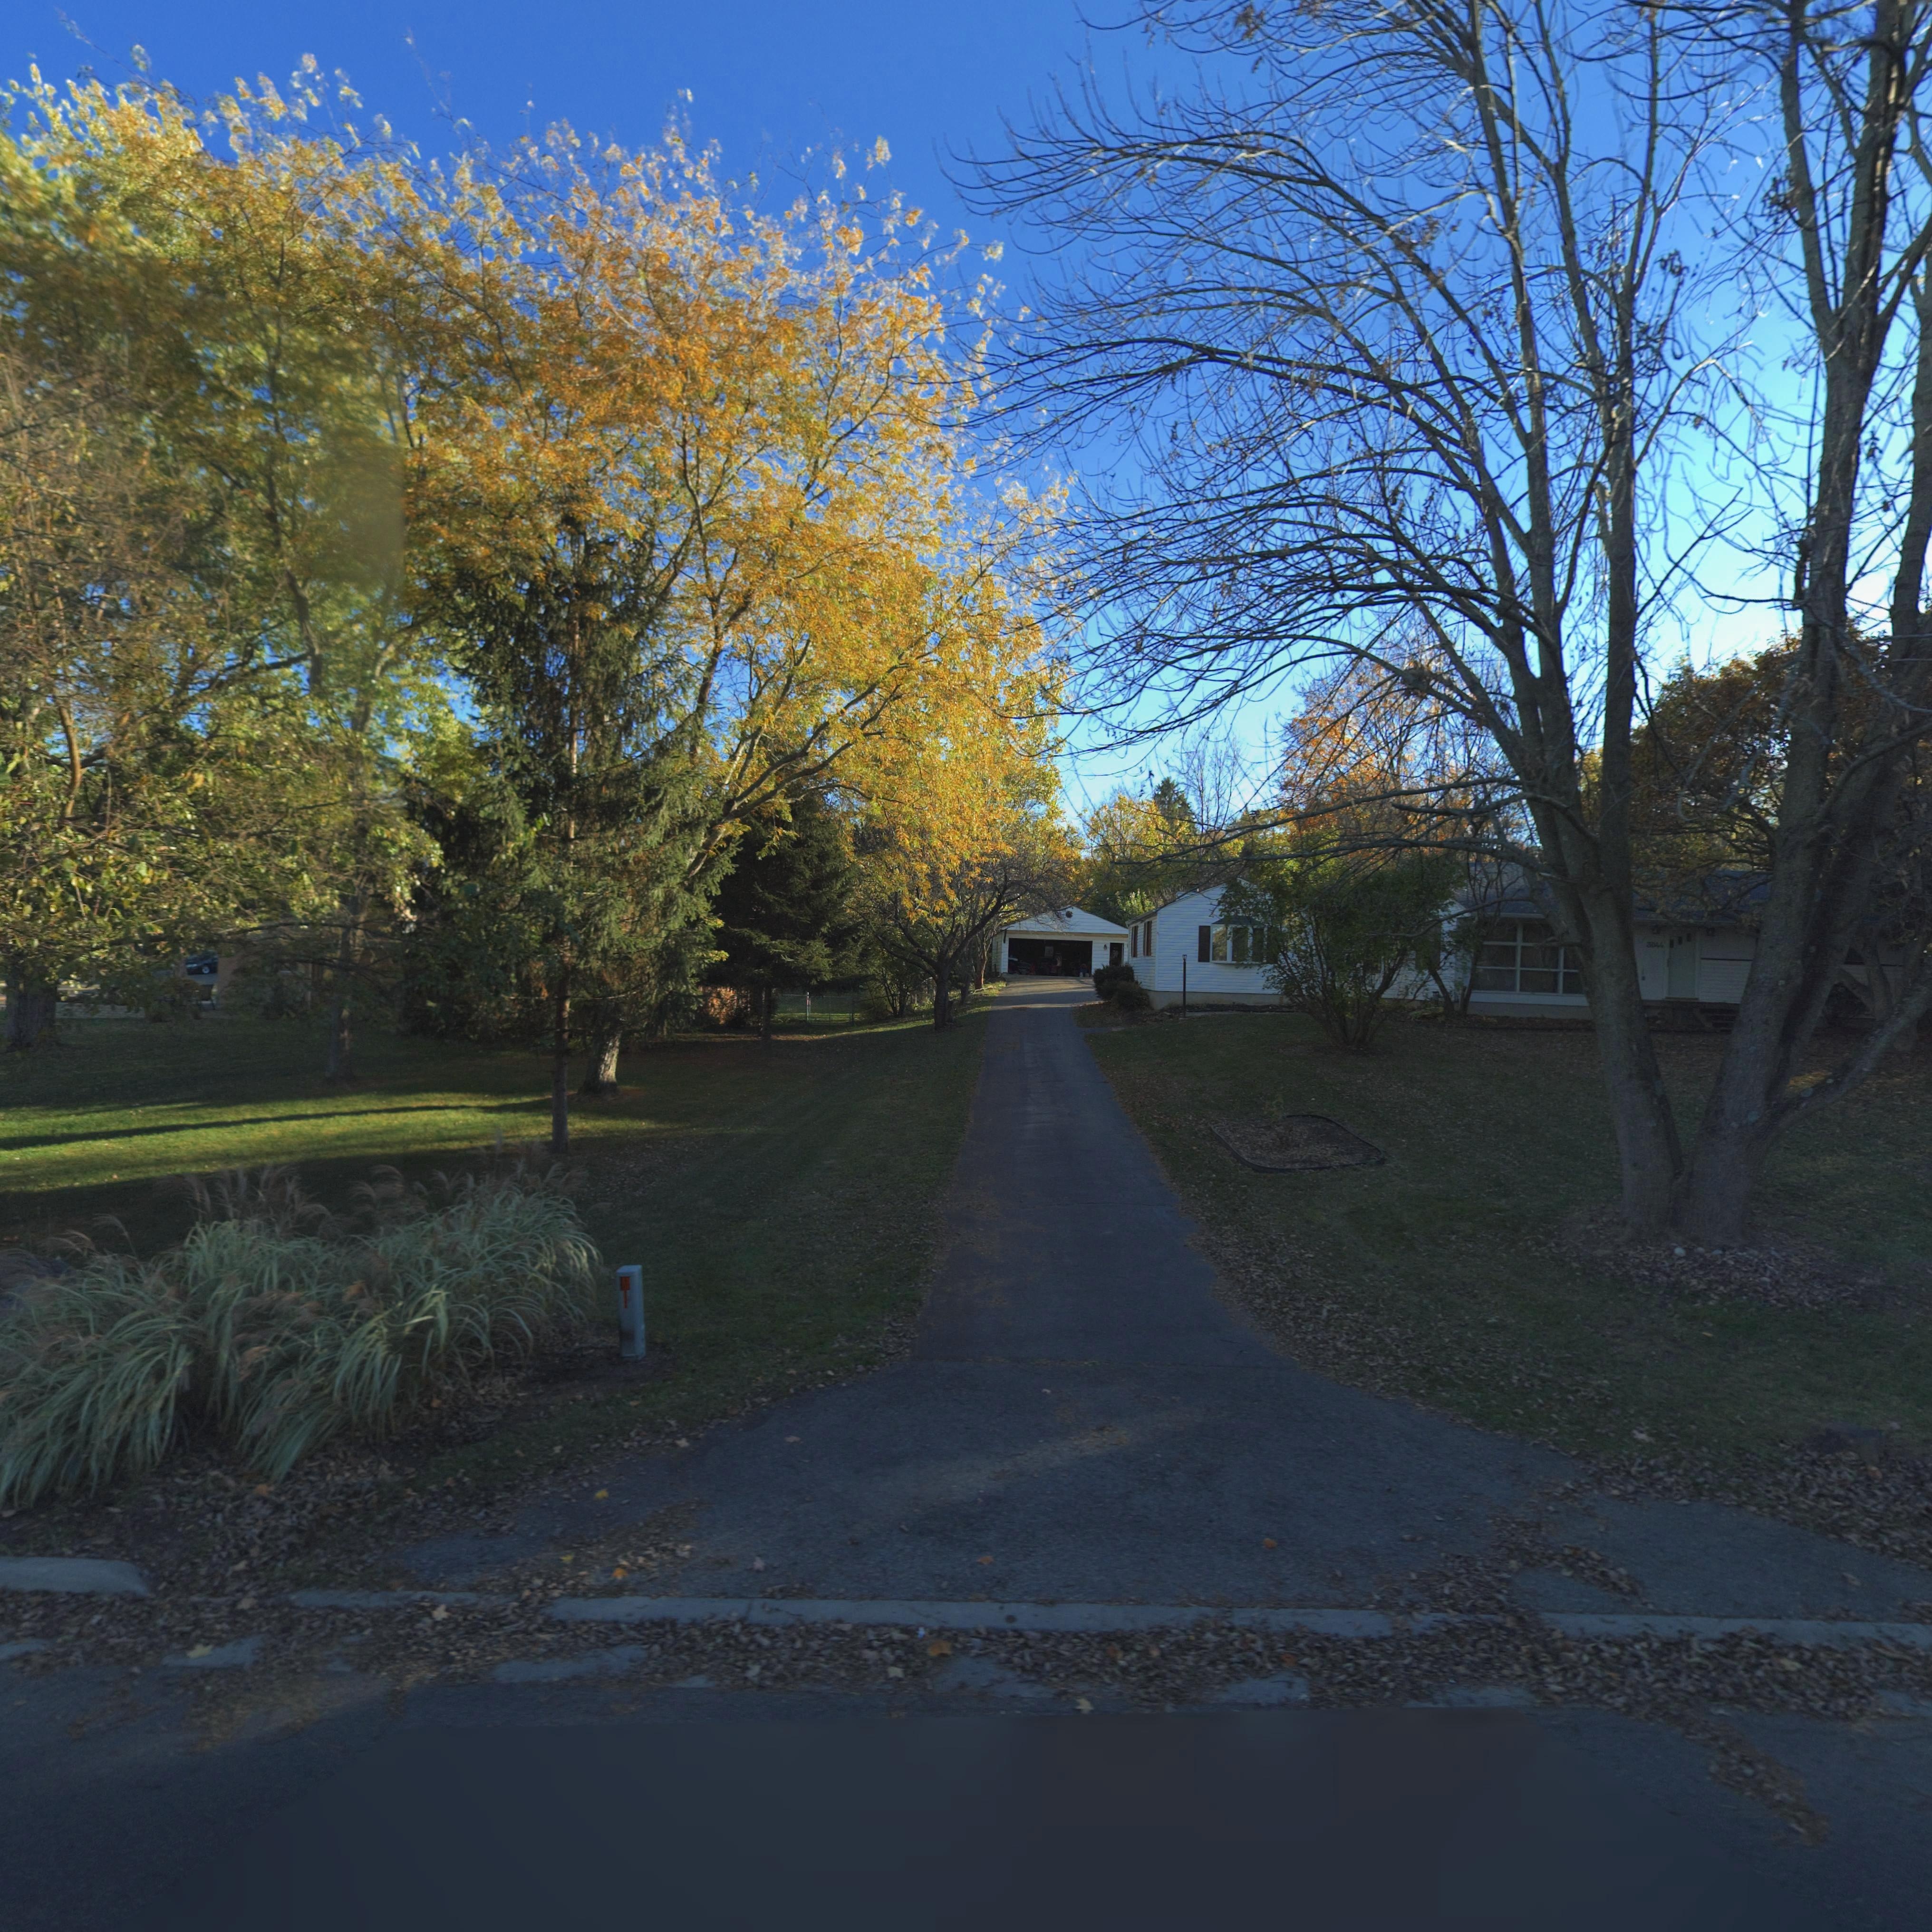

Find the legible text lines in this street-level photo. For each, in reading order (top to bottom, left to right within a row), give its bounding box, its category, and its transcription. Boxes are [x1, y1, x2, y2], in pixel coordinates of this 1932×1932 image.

[1645, 941, 1665, 949] StreetNumber: 30**